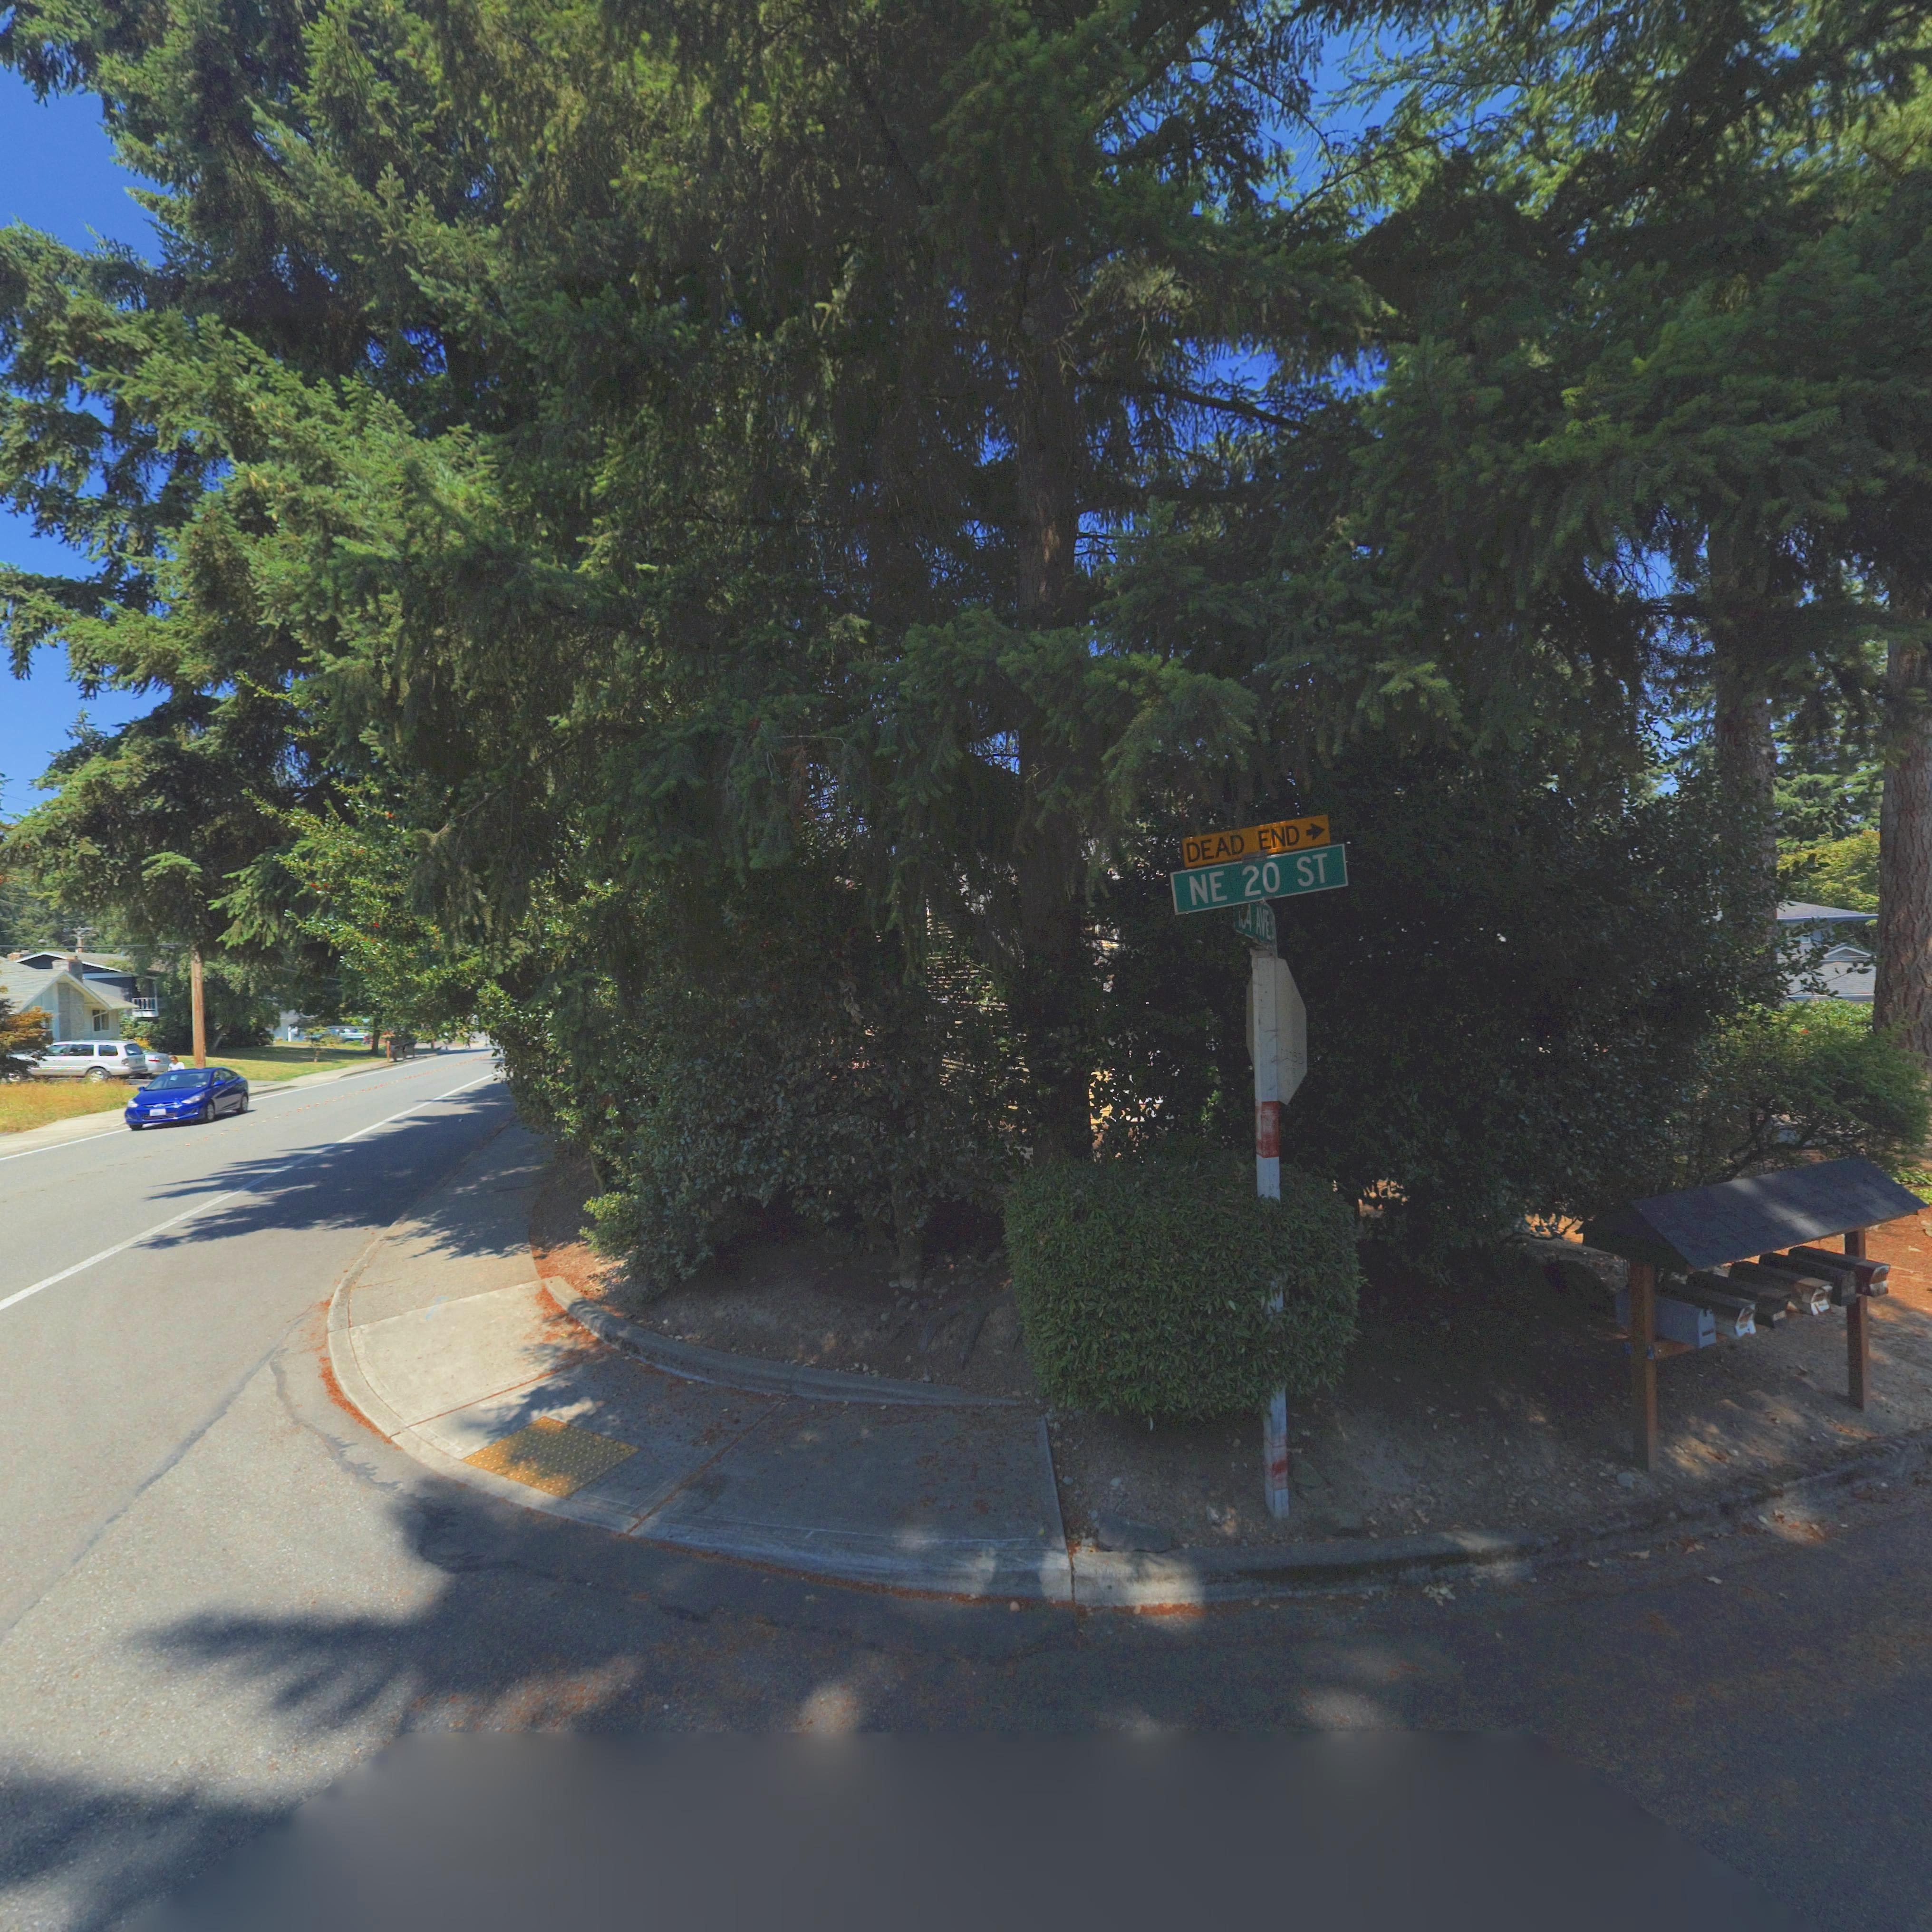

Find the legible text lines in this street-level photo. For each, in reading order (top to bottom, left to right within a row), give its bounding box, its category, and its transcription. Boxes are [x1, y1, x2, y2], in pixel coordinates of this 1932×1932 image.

[1188, 853, 1331, 905] StreetName: NE 20 ST
[1237, 901, 1273, 941] StreetName: **4 AVE